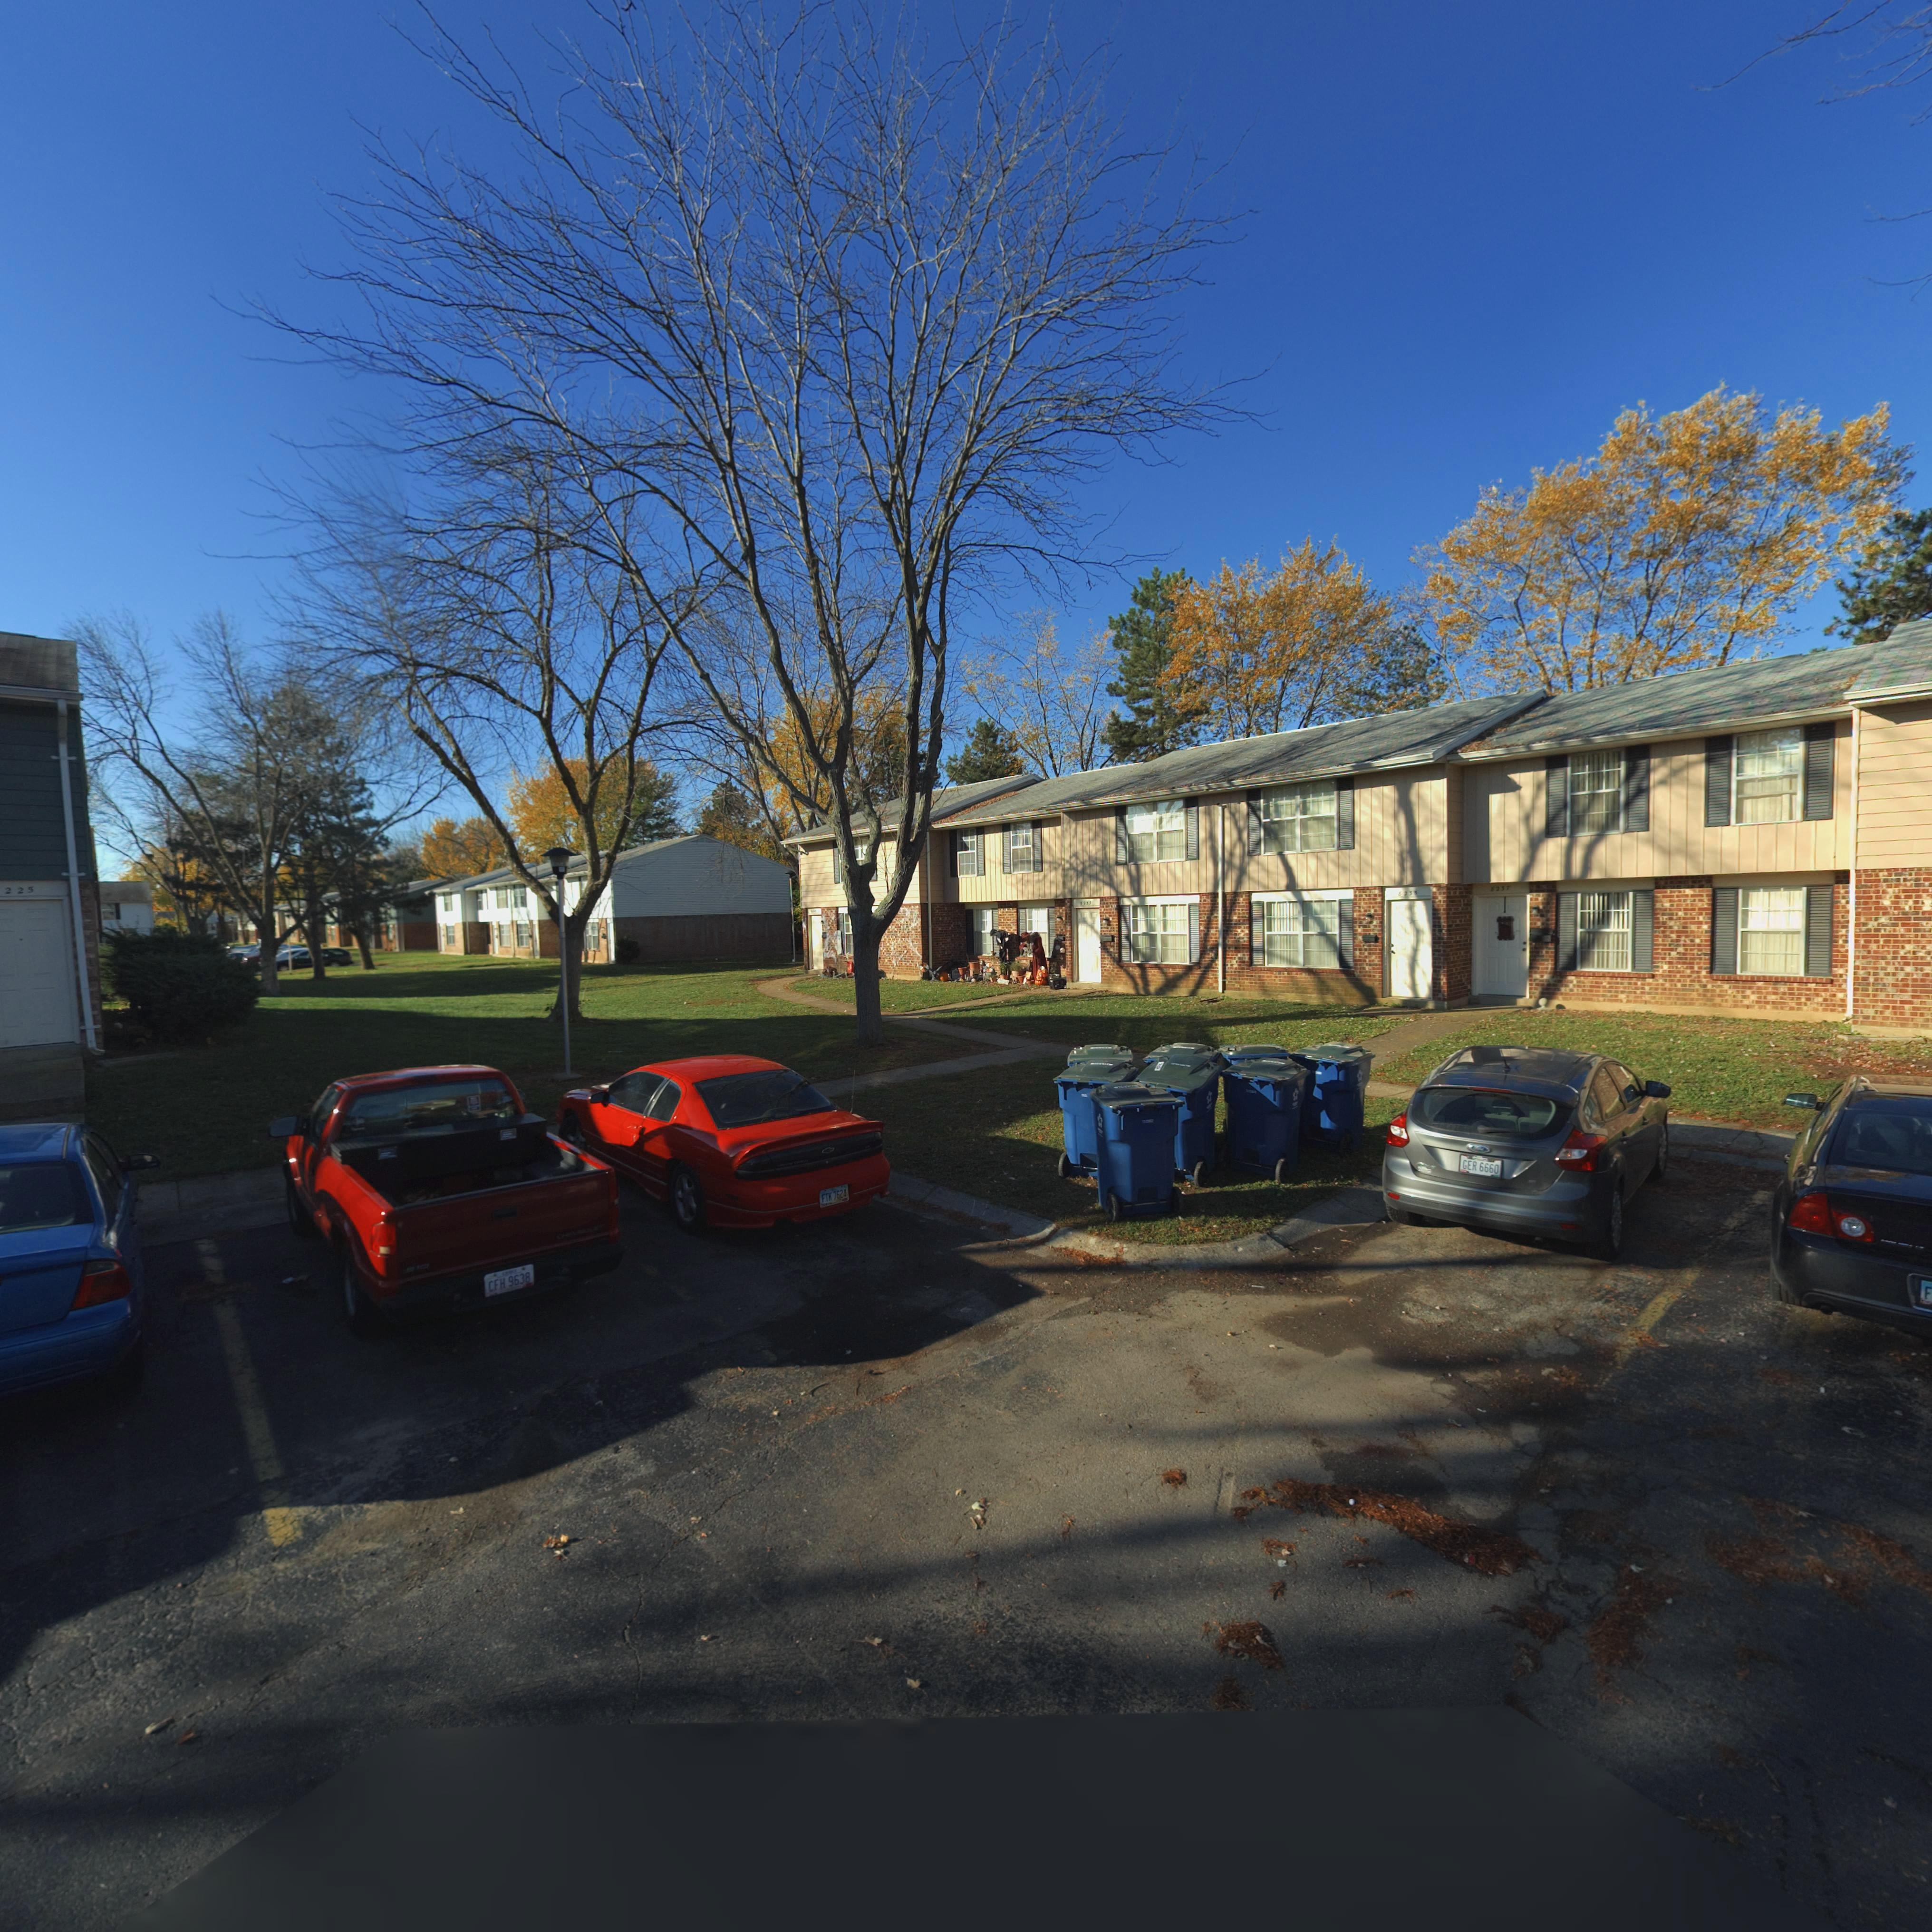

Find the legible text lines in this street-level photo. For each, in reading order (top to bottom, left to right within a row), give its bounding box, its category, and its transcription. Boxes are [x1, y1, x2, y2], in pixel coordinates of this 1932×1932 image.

[4, 885, 35, 895] StreetNumber: 225
[1397, 890, 1418, 896] StreetNumber: 8235
[1490, 885, 1511, 892] StreetNumber: 8237
[1080, 900, 1092, 906] StreetNumber: 8233